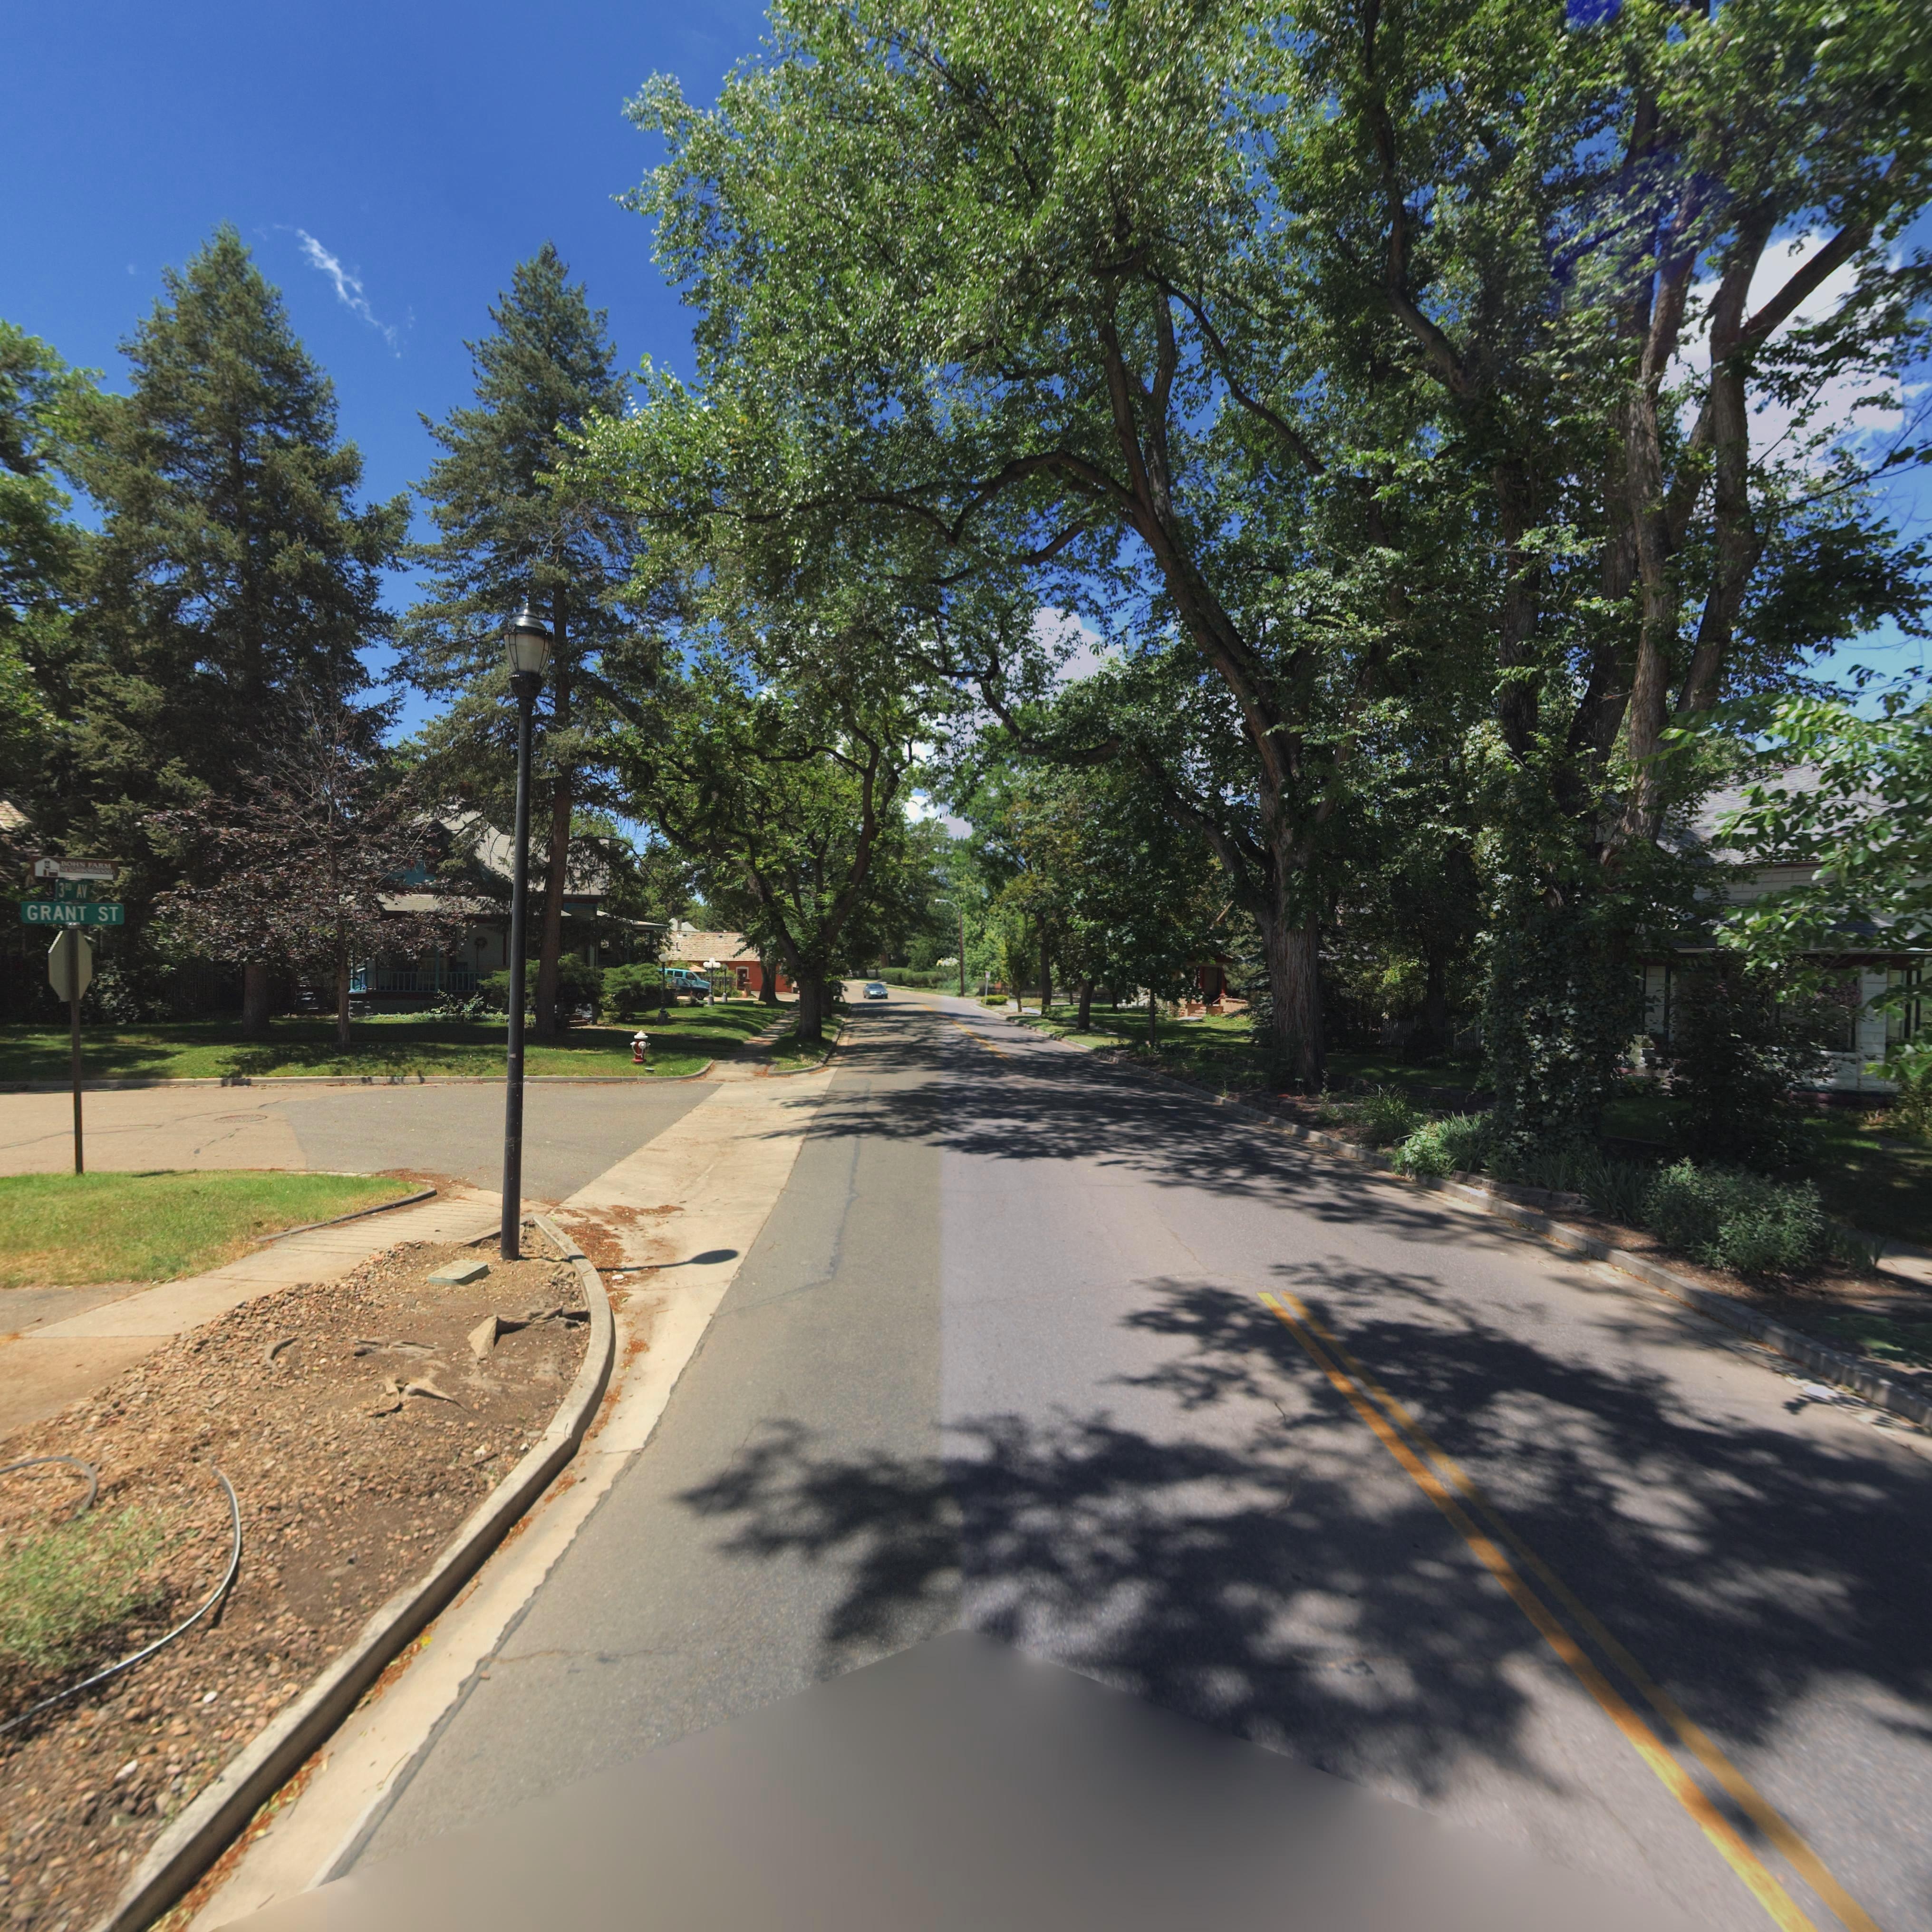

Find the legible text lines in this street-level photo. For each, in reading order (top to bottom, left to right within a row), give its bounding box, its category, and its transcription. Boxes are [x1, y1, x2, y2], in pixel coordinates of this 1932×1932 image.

[58, 882, 87, 898] StreetName: 3RD AV
[26, 905, 118, 921] StreetName: GRANT ST